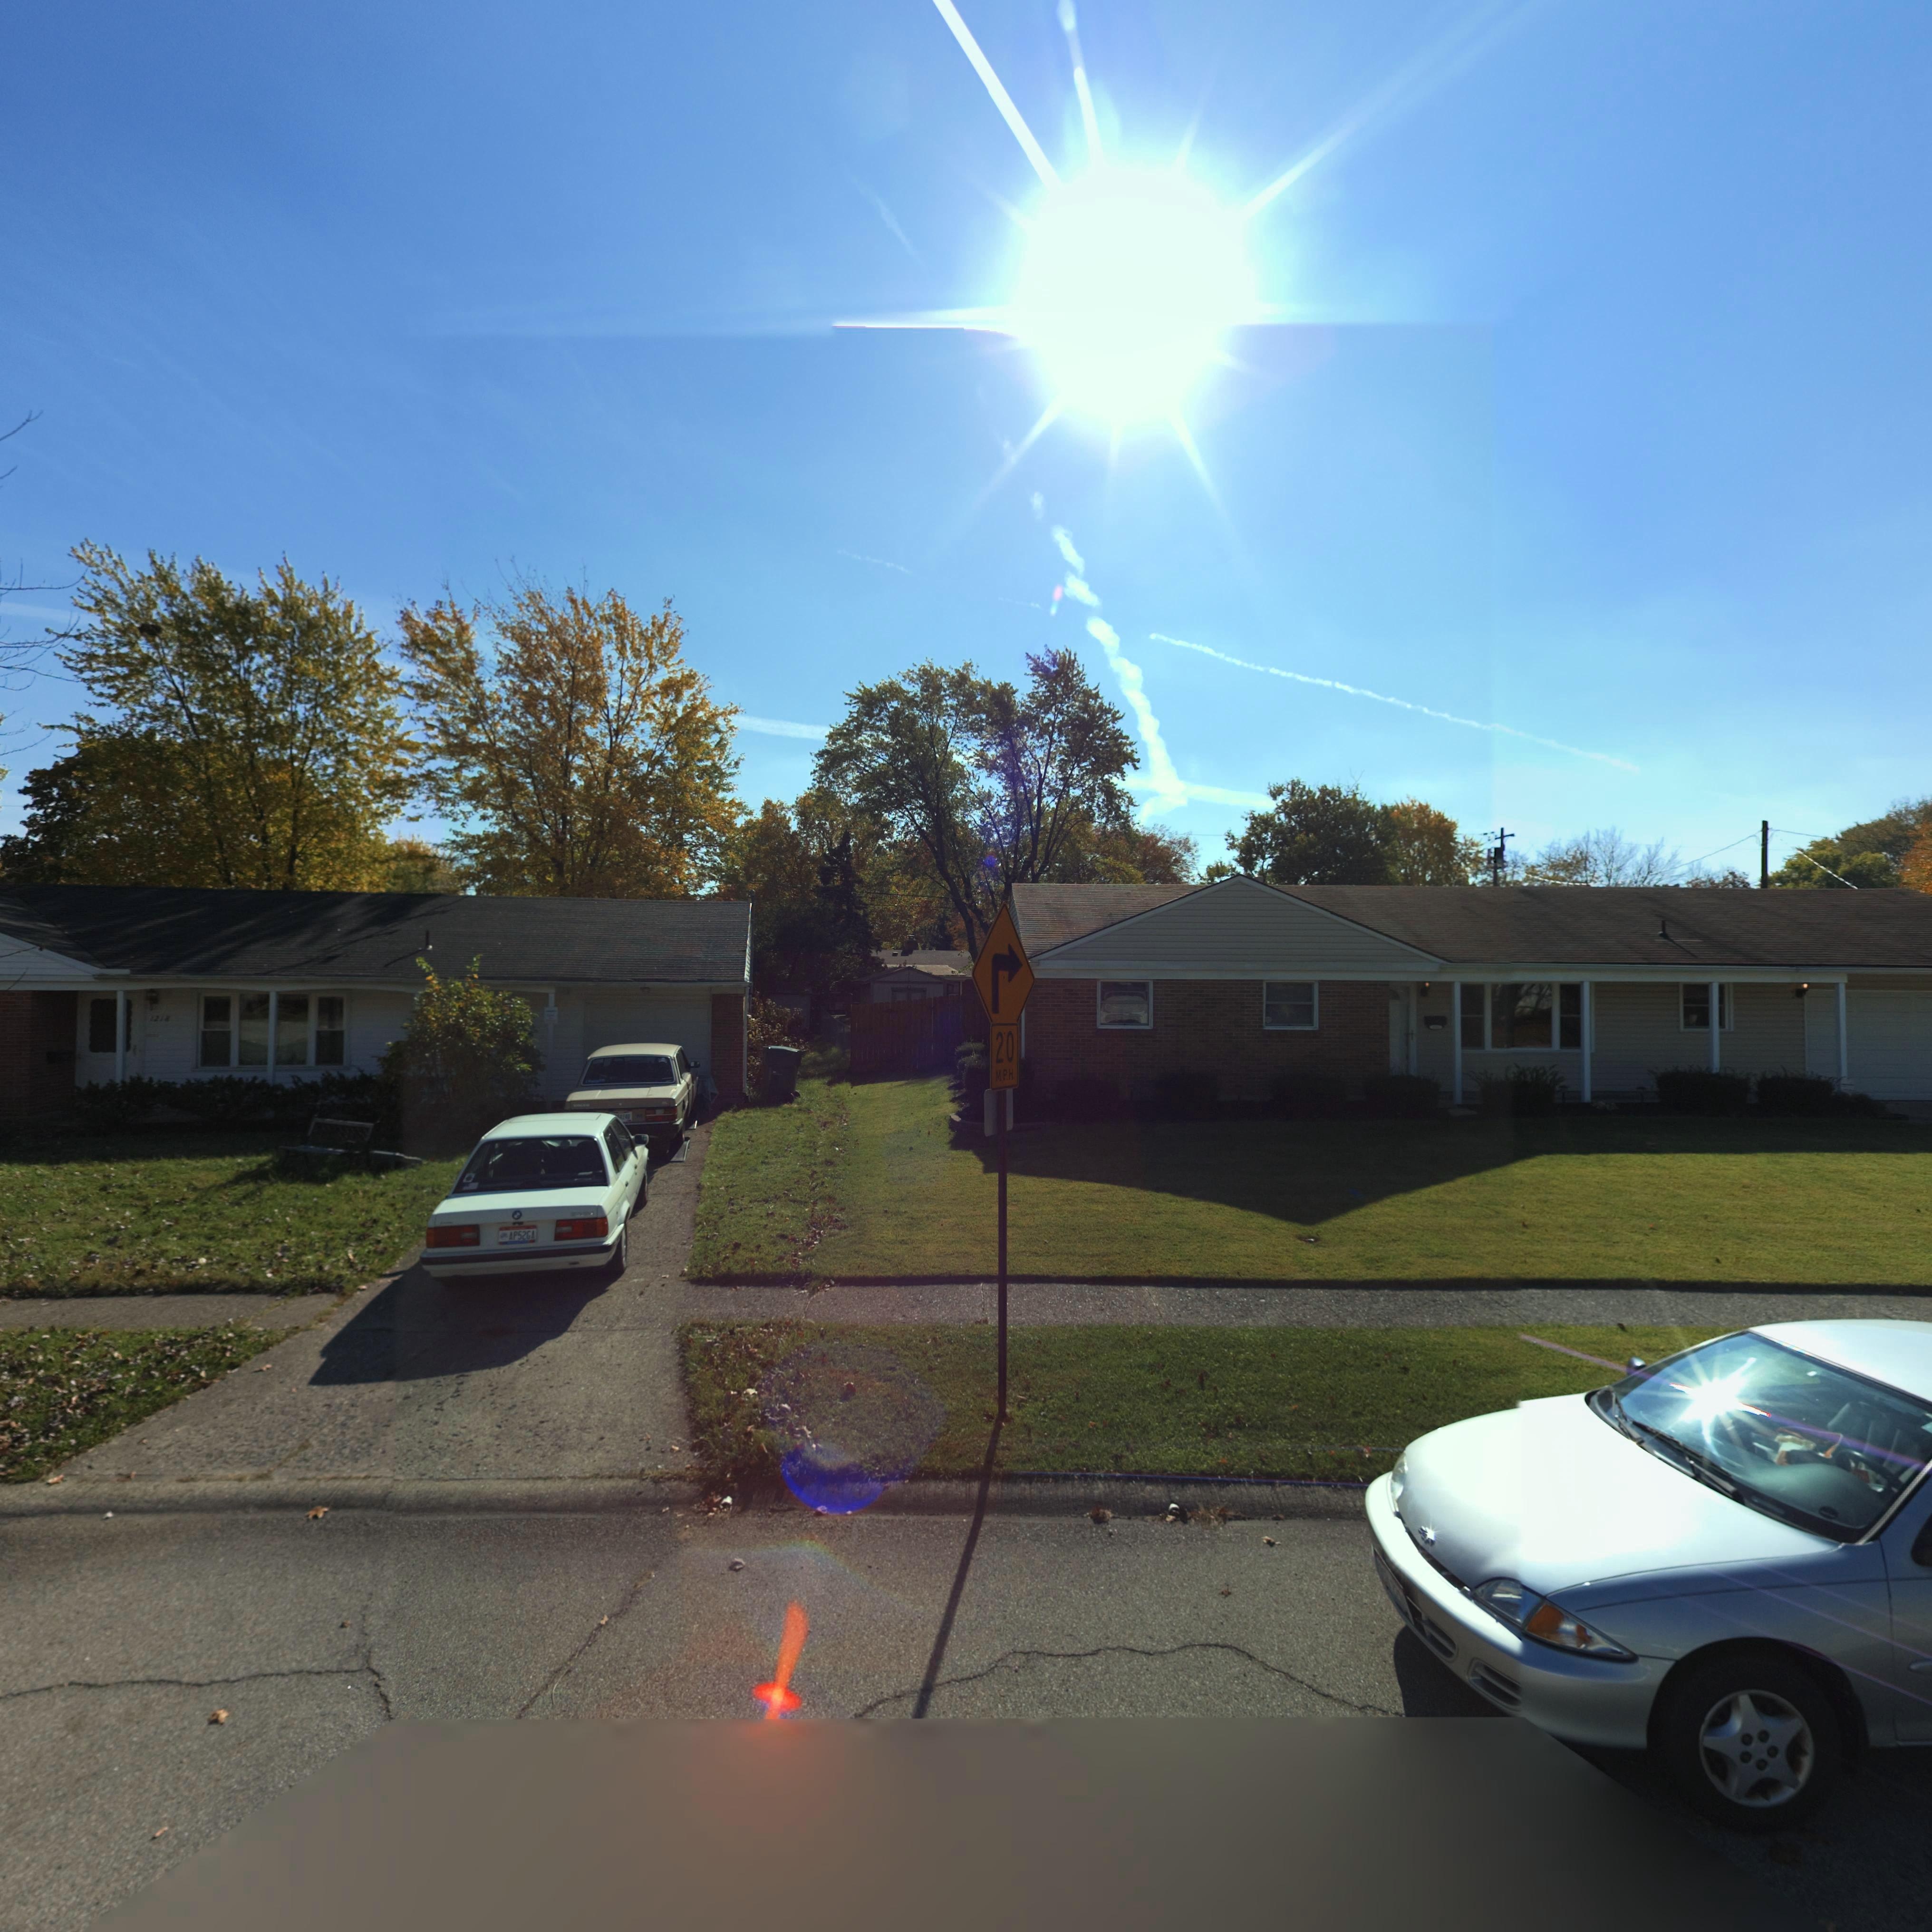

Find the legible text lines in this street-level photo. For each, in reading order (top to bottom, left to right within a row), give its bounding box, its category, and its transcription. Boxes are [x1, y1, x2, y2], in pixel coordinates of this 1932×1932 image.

[148, 1014, 172, 1022] StreetNumber: 1218
[995, 1030, 1015, 1064] None: 20
[995, 1068, 1015, 1083] None: M.P.H.
[573, 1103, 590, 1108] None: VOLVO
[618, 1113, 631, 1119] None: 4*4*
[509, 1229, 535, 1241] None: AP52GA